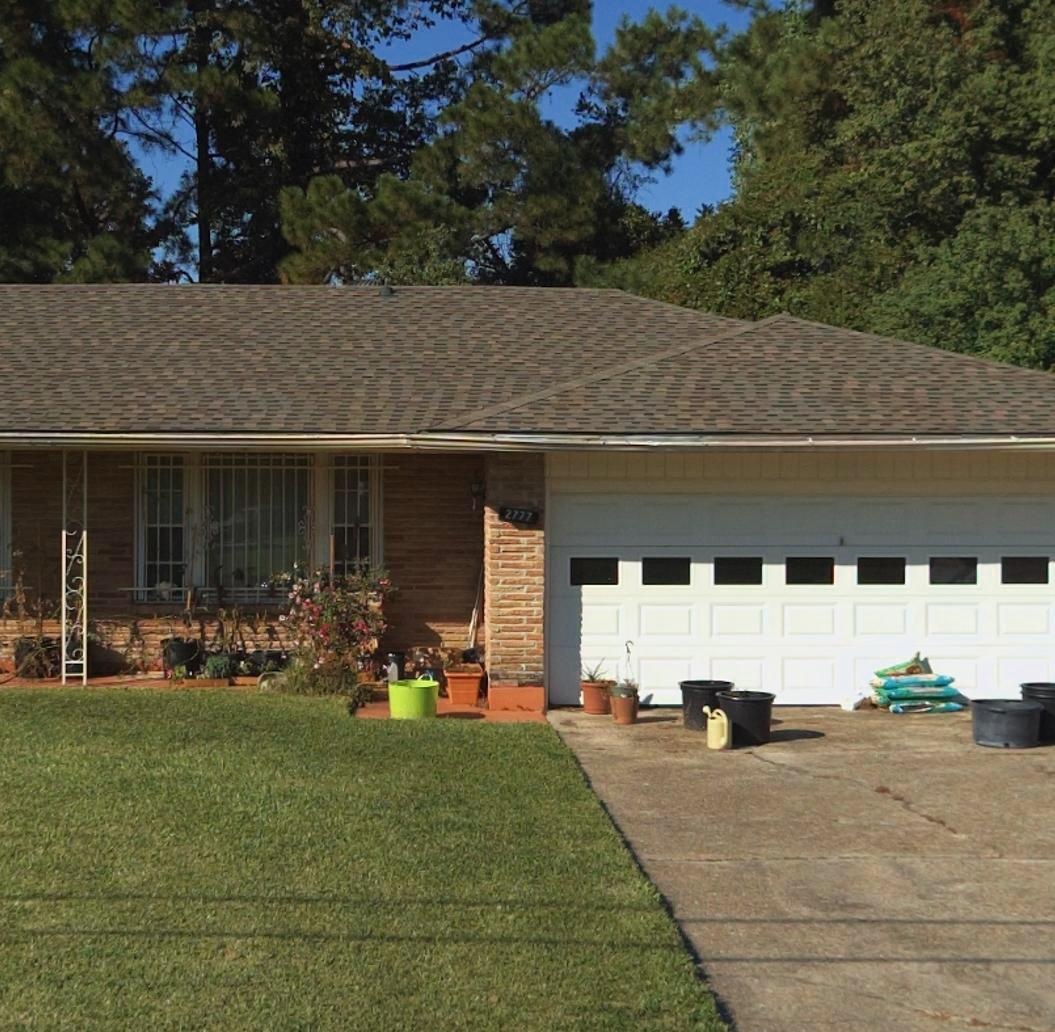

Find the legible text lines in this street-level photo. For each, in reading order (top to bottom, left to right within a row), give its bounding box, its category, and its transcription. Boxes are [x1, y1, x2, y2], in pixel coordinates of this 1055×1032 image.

[503, 508, 535, 523] StreetNumber: 2777